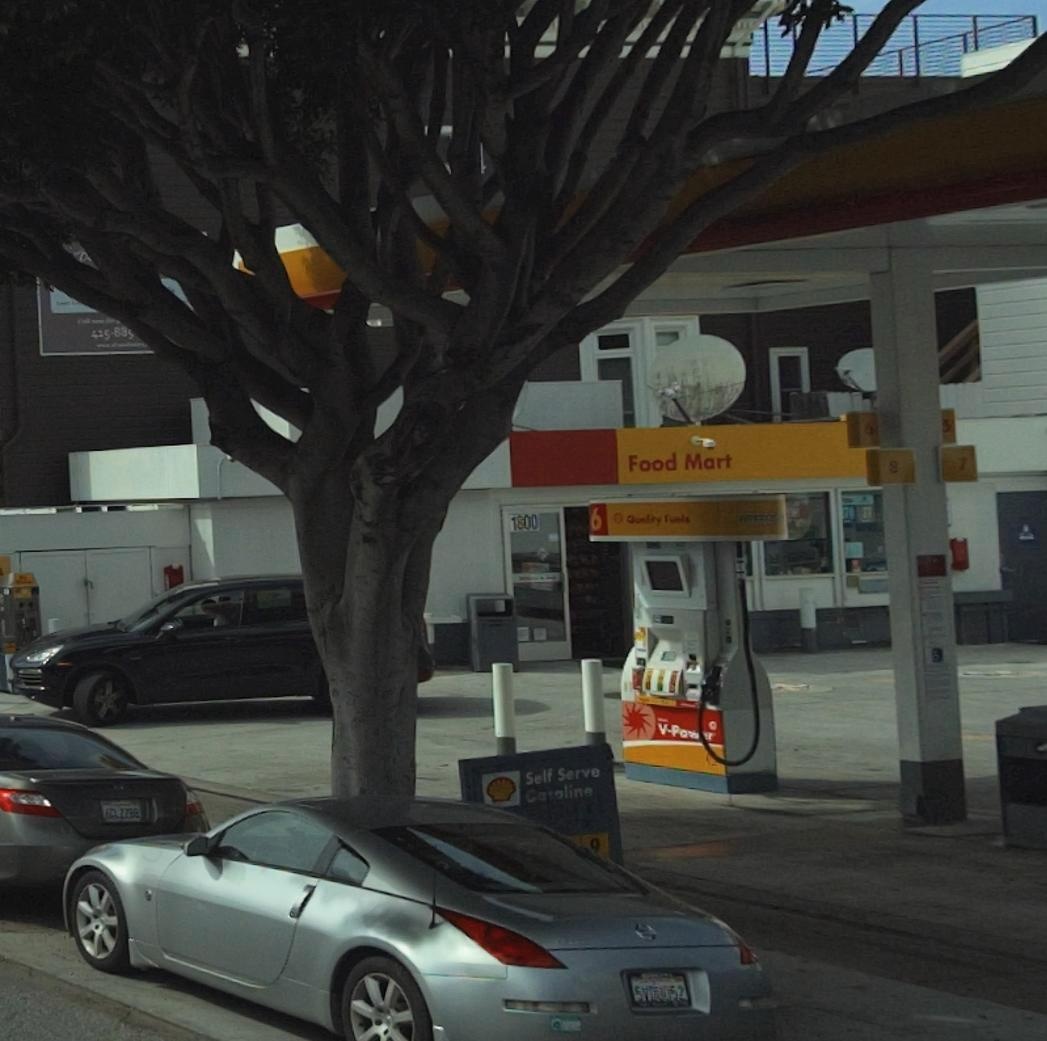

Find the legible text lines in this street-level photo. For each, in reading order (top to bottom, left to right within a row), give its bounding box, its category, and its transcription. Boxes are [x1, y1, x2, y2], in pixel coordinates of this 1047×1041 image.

[87, 324, 138, 343] None: 4*5-88*
[862, 416, 877, 438] None: 6
[626, 450, 736, 476] BusinessName: Food Mart
[886, 457, 901, 476] None: 8
[954, 454, 972, 473] None: 7
[509, 511, 540, 533] StreetNumber: 1800
[588, 504, 605, 533] None: 6
[622, 510, 695, 529] None: Q*****Y F***ls
[655, 722, 691, 742] None: V-P*
[523, 765, 603, 788] None: Self Serve
[561, 782, 596, 801] None: line
[117, 804, 144, 822] None: 2288
[587, 834, 602, 855] None: 9
[629, 981, 689, 1005] None: 5V****52